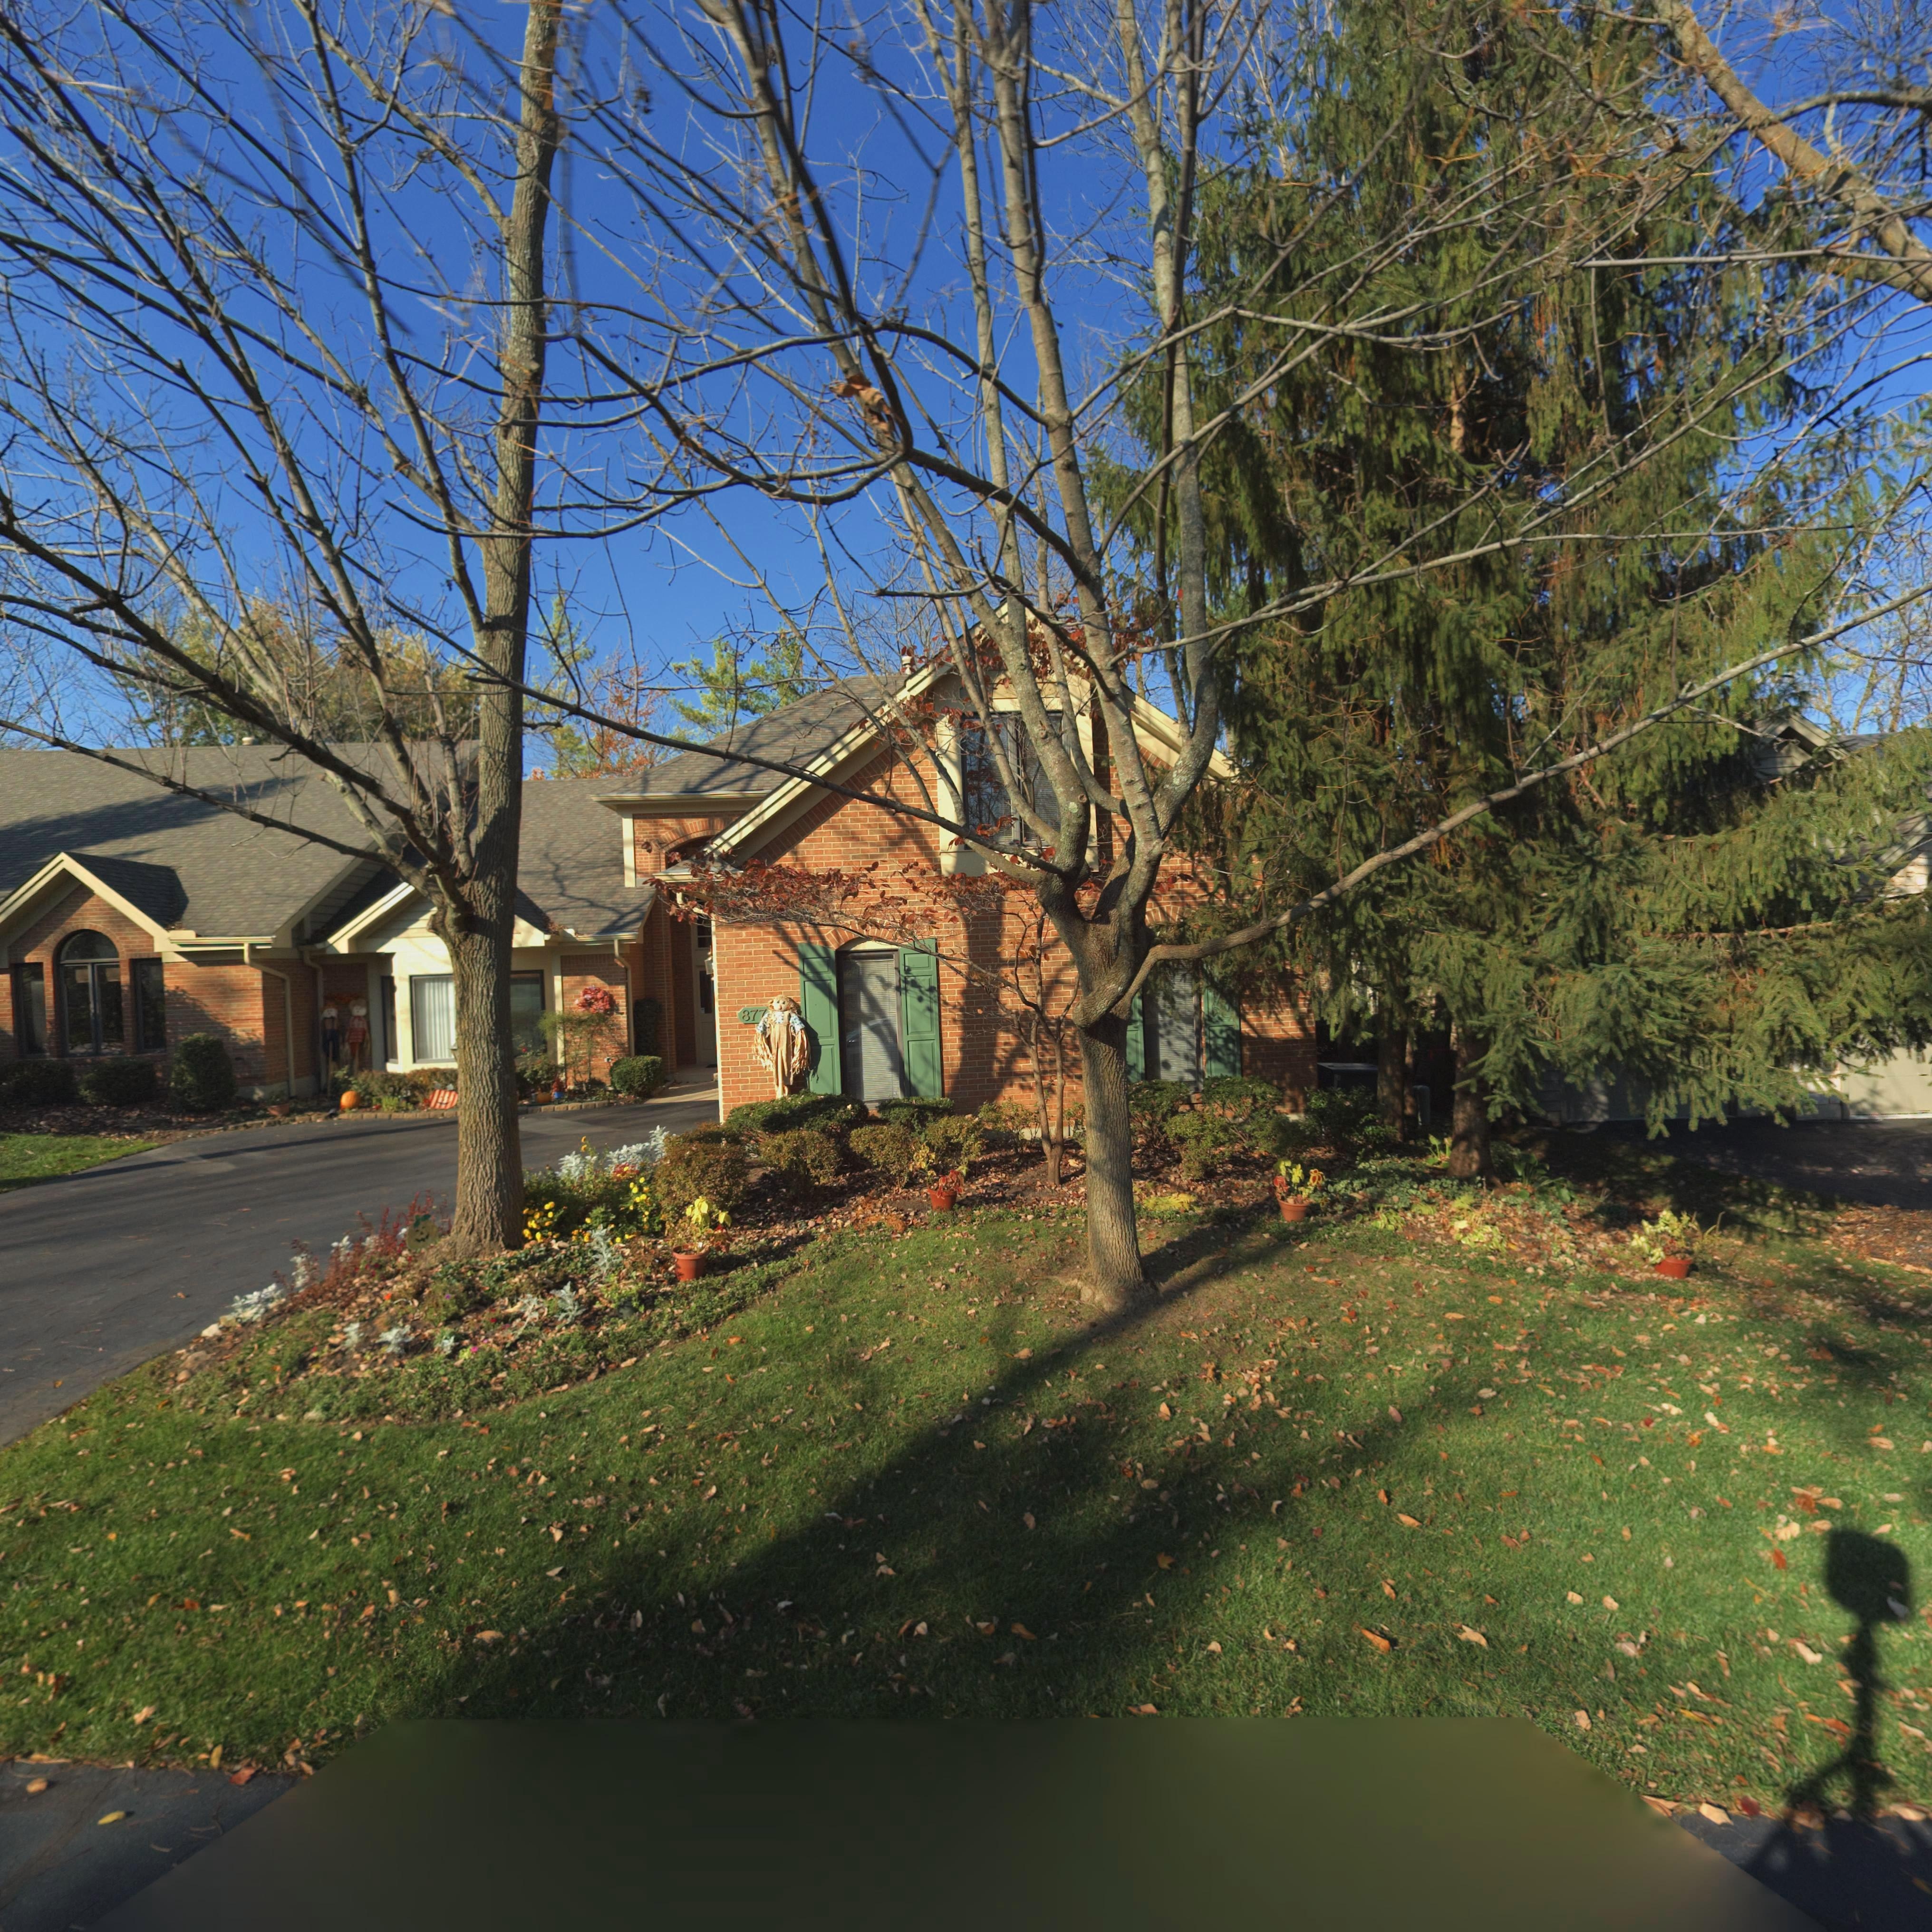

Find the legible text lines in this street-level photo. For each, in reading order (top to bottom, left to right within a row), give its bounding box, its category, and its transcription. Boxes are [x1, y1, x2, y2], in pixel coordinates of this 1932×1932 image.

[741, 1008, 760, 1024] StreetNumber: 87